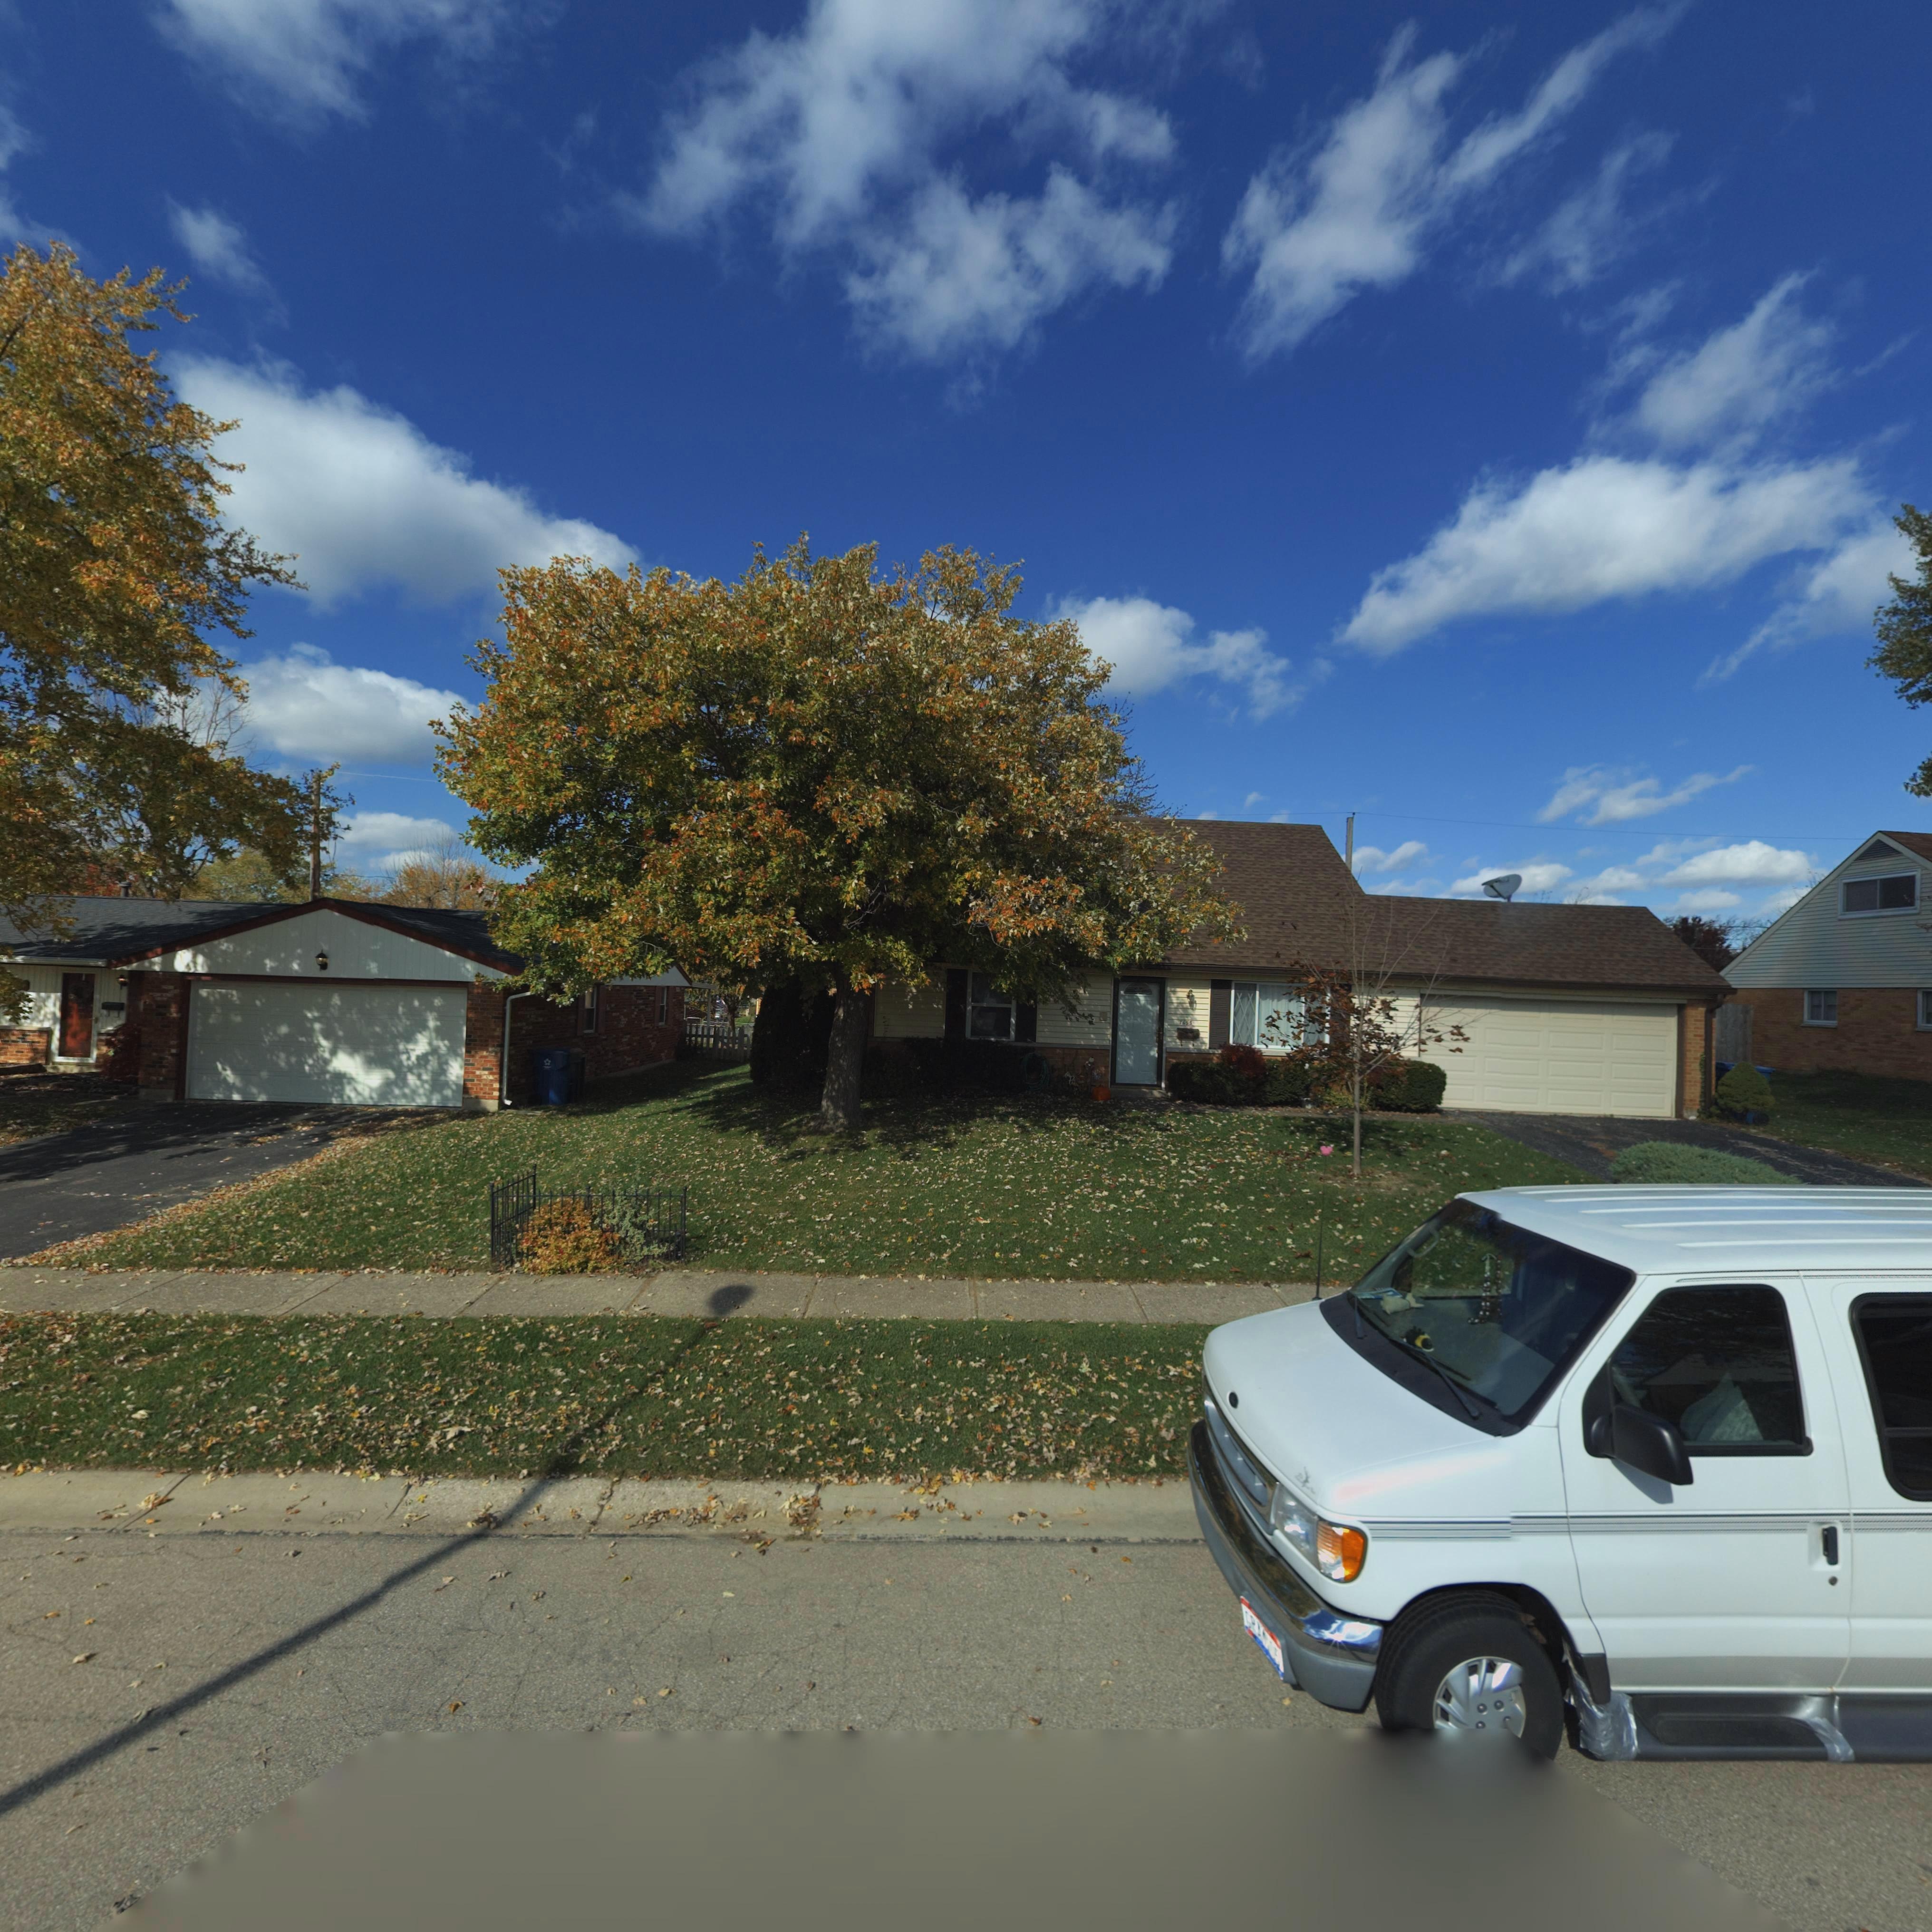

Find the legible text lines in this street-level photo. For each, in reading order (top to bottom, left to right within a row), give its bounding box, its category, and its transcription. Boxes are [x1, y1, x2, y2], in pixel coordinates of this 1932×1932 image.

[1179, 1020, 1193, 1026] StreetNumber: 7653